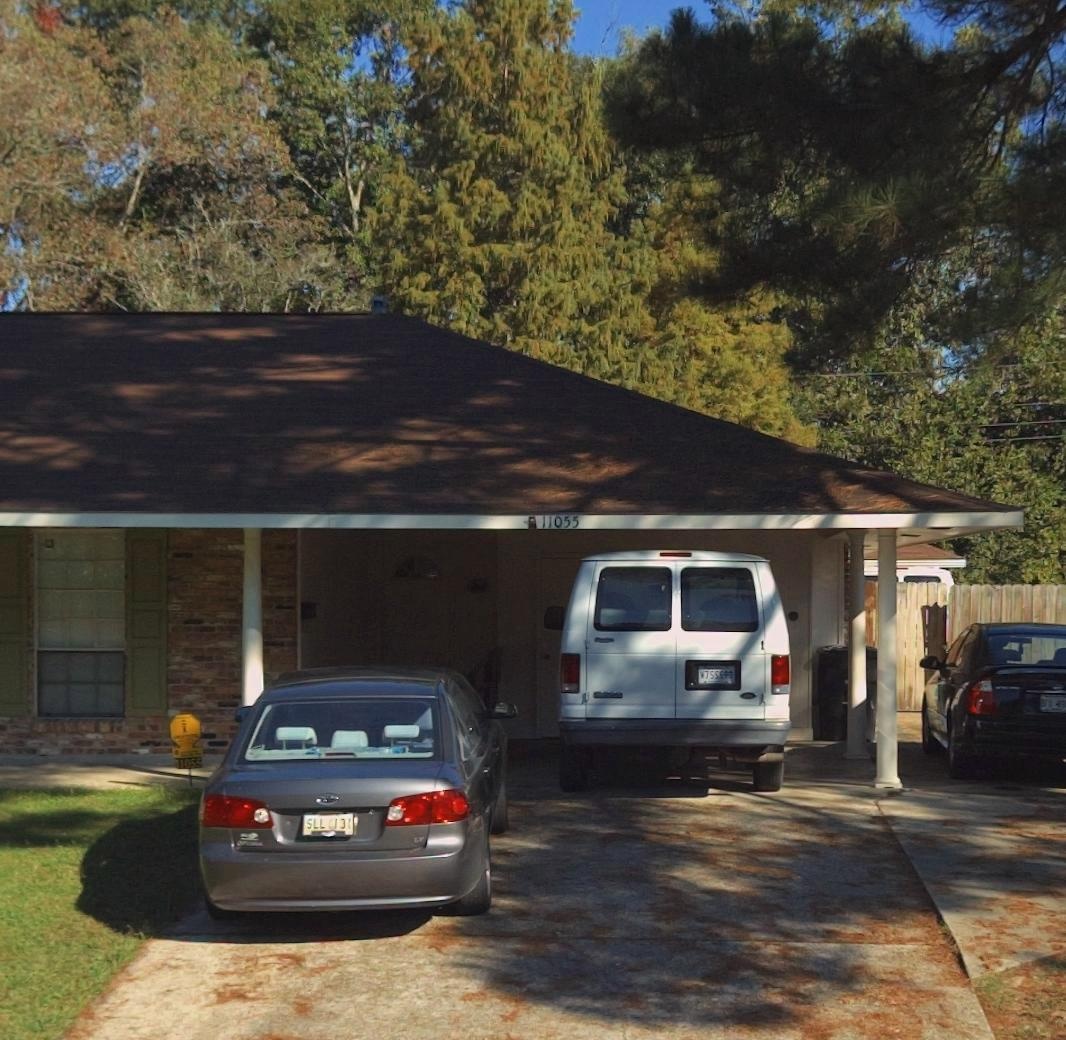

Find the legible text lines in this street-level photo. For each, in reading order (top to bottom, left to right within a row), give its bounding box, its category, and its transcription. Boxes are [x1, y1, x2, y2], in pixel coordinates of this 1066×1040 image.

[540, 513, 581, 530] StreetNumber: 11055
[698, 668, 735, 682] None: W755*90
[173, 755, 205, 770] StreetNumber: 11055
[303, 815, 353, 833] None: SLL*13*